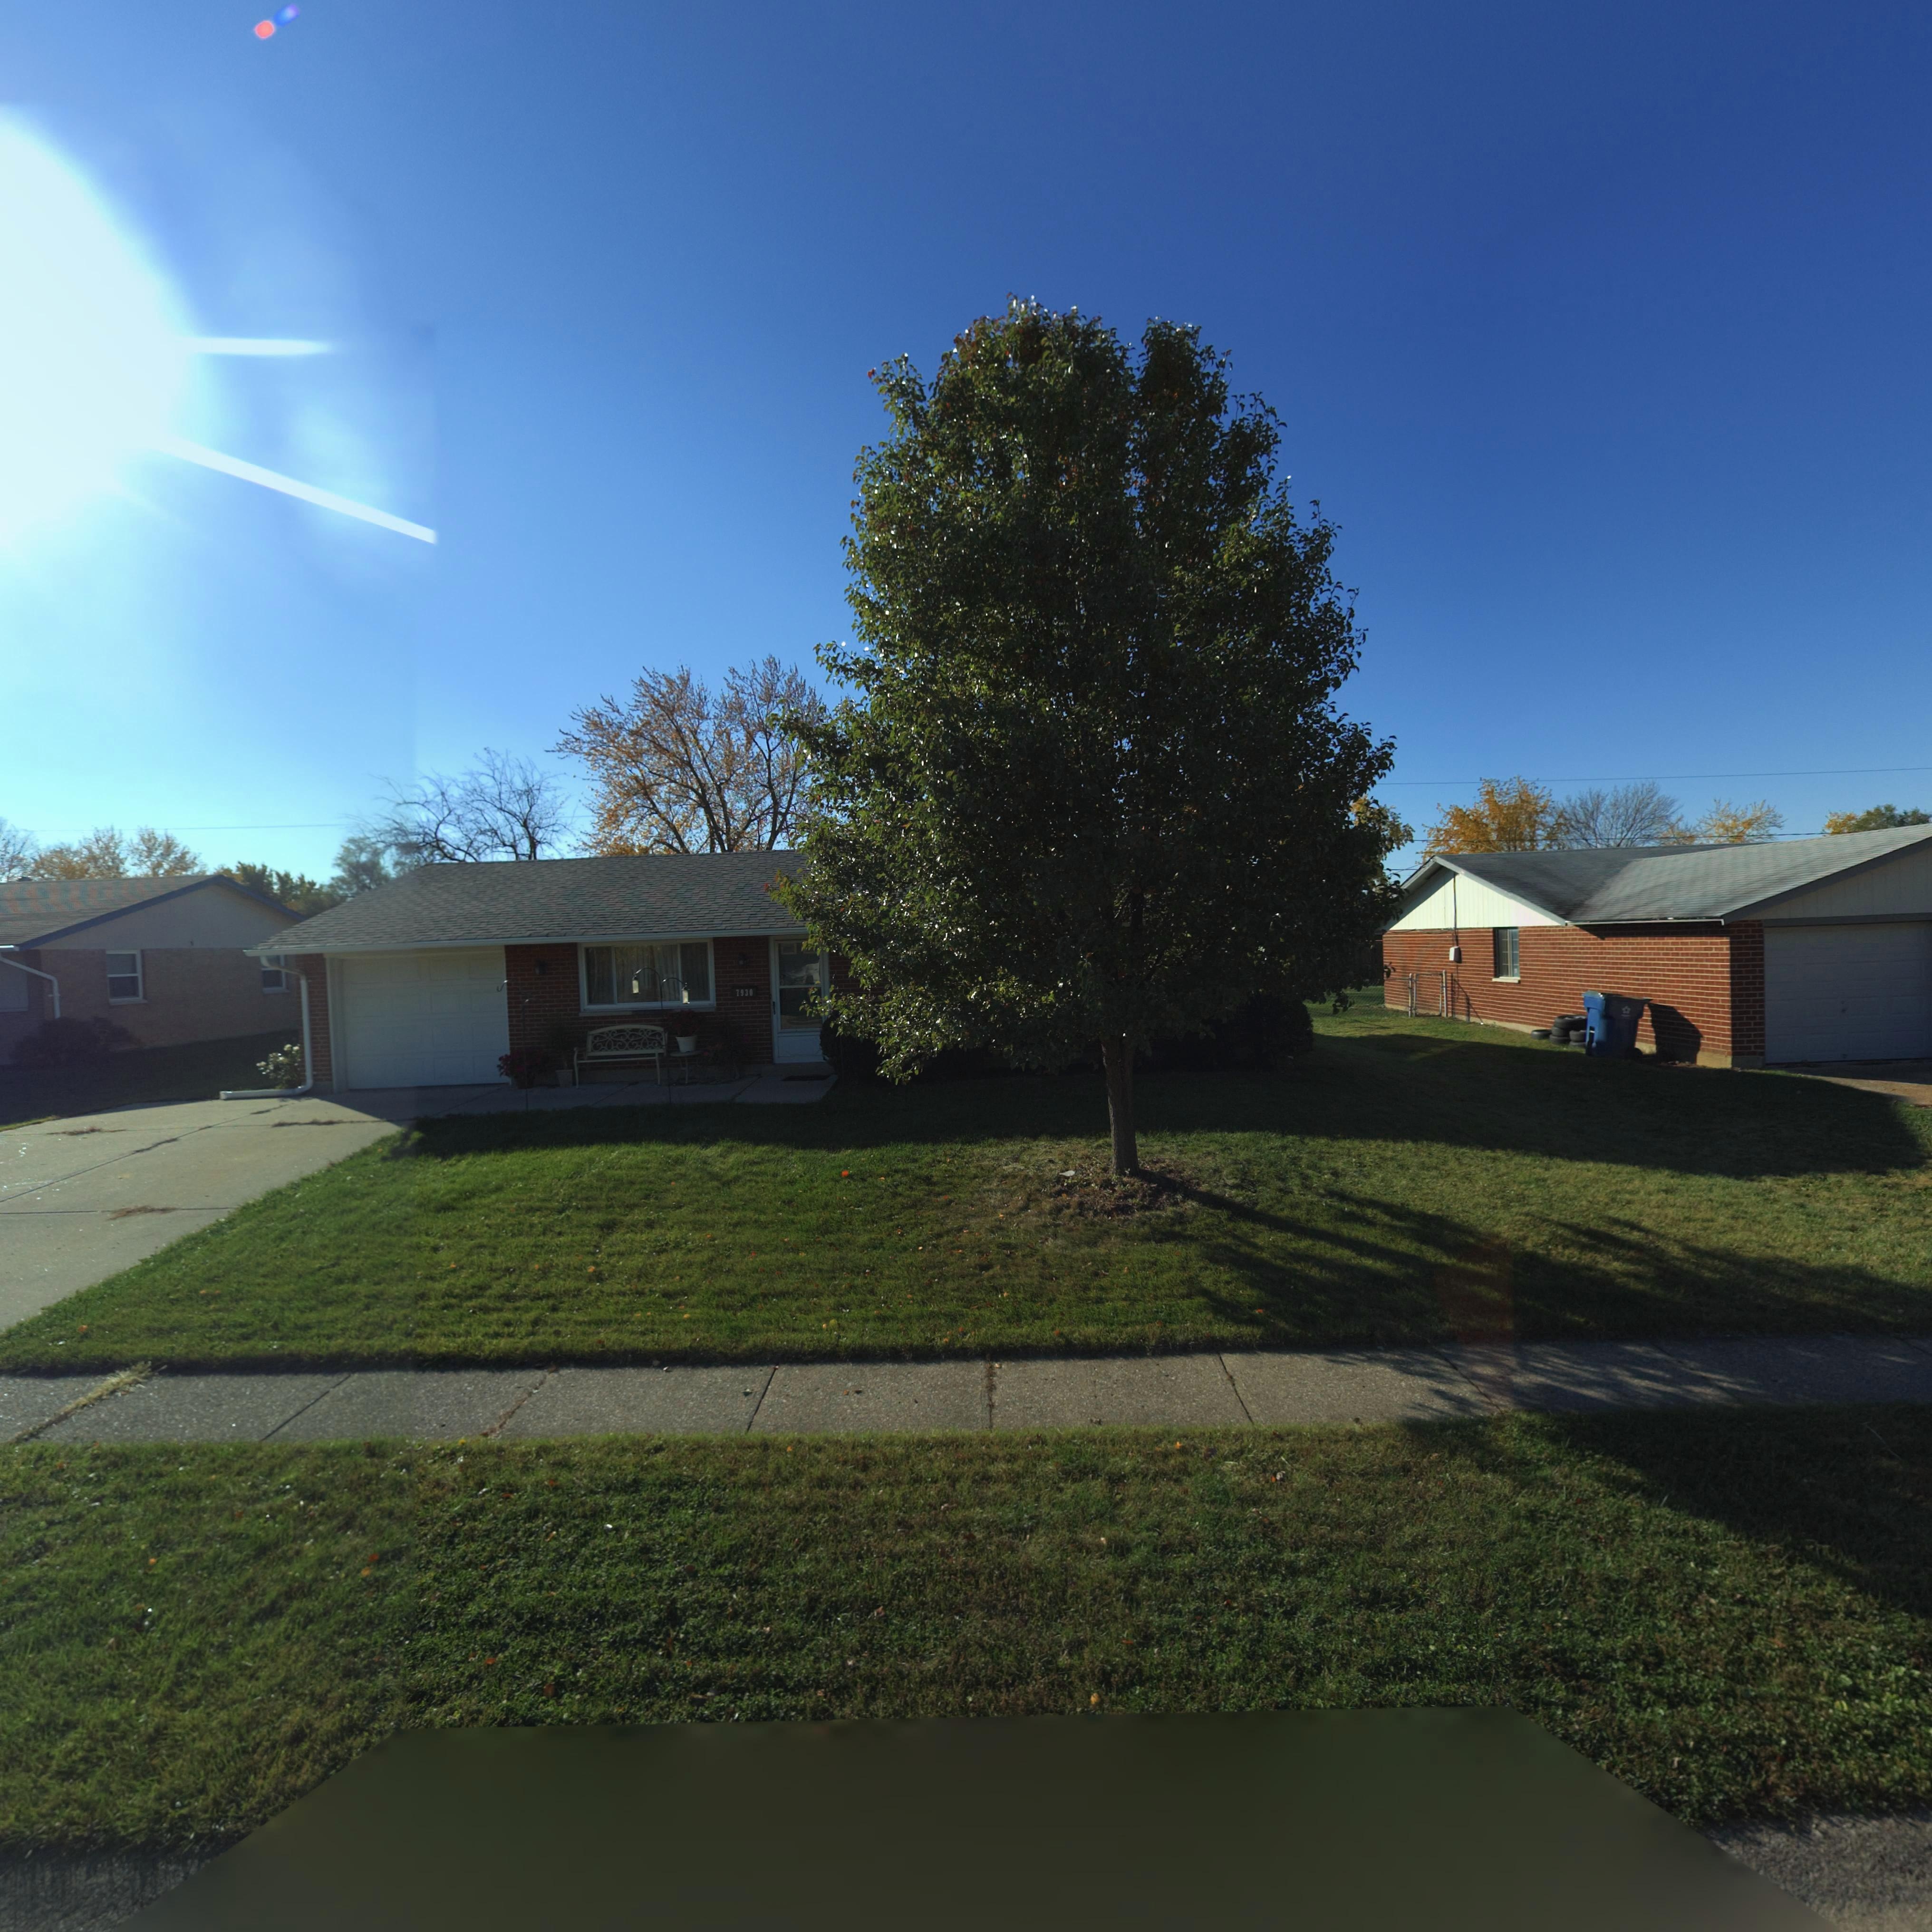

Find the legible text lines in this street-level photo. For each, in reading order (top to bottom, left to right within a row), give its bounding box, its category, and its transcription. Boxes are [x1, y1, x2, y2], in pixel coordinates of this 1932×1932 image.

[735, 988, 754, 997] StreetNumber: 7930